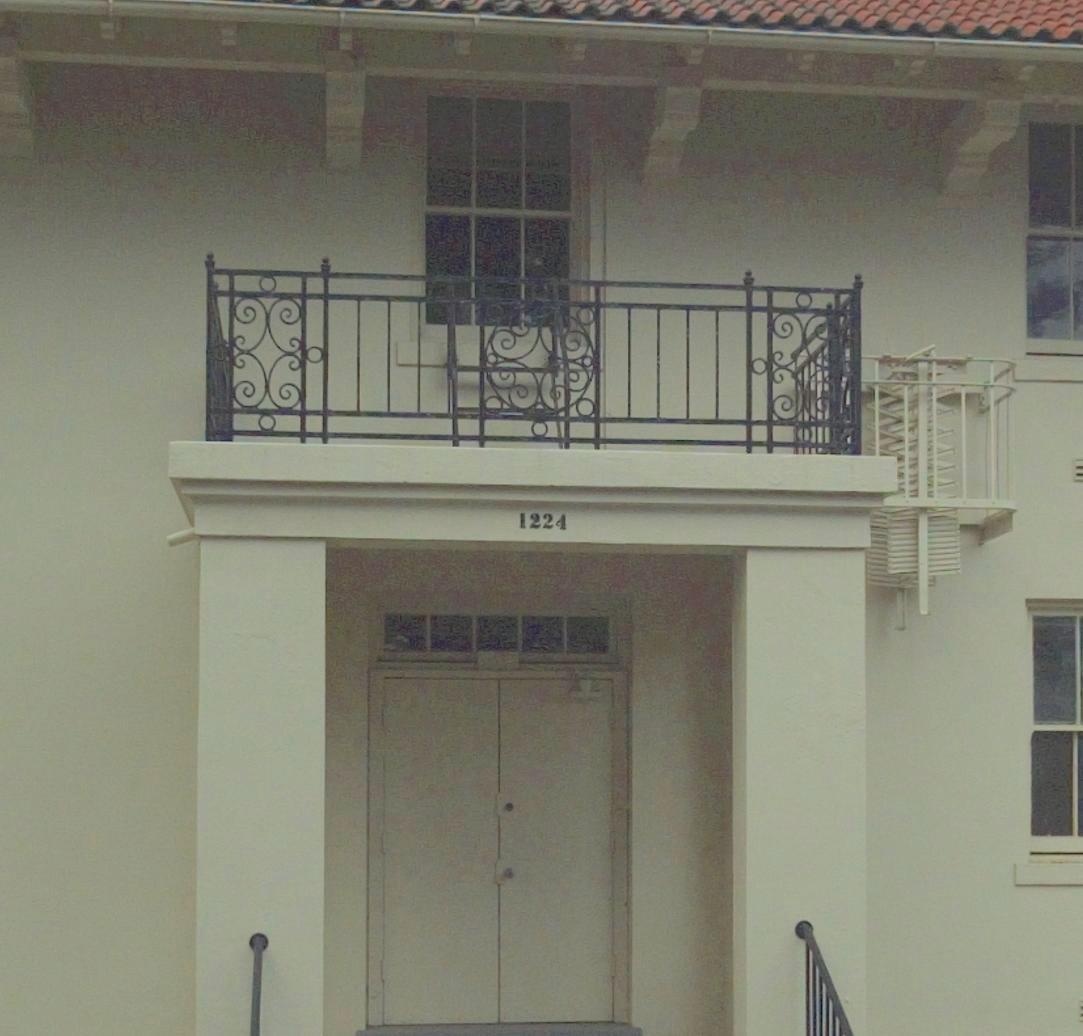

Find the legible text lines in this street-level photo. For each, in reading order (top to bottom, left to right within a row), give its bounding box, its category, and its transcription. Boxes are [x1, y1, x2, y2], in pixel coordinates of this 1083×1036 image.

[518, 511, 567, 531] StreetNumber: 1224